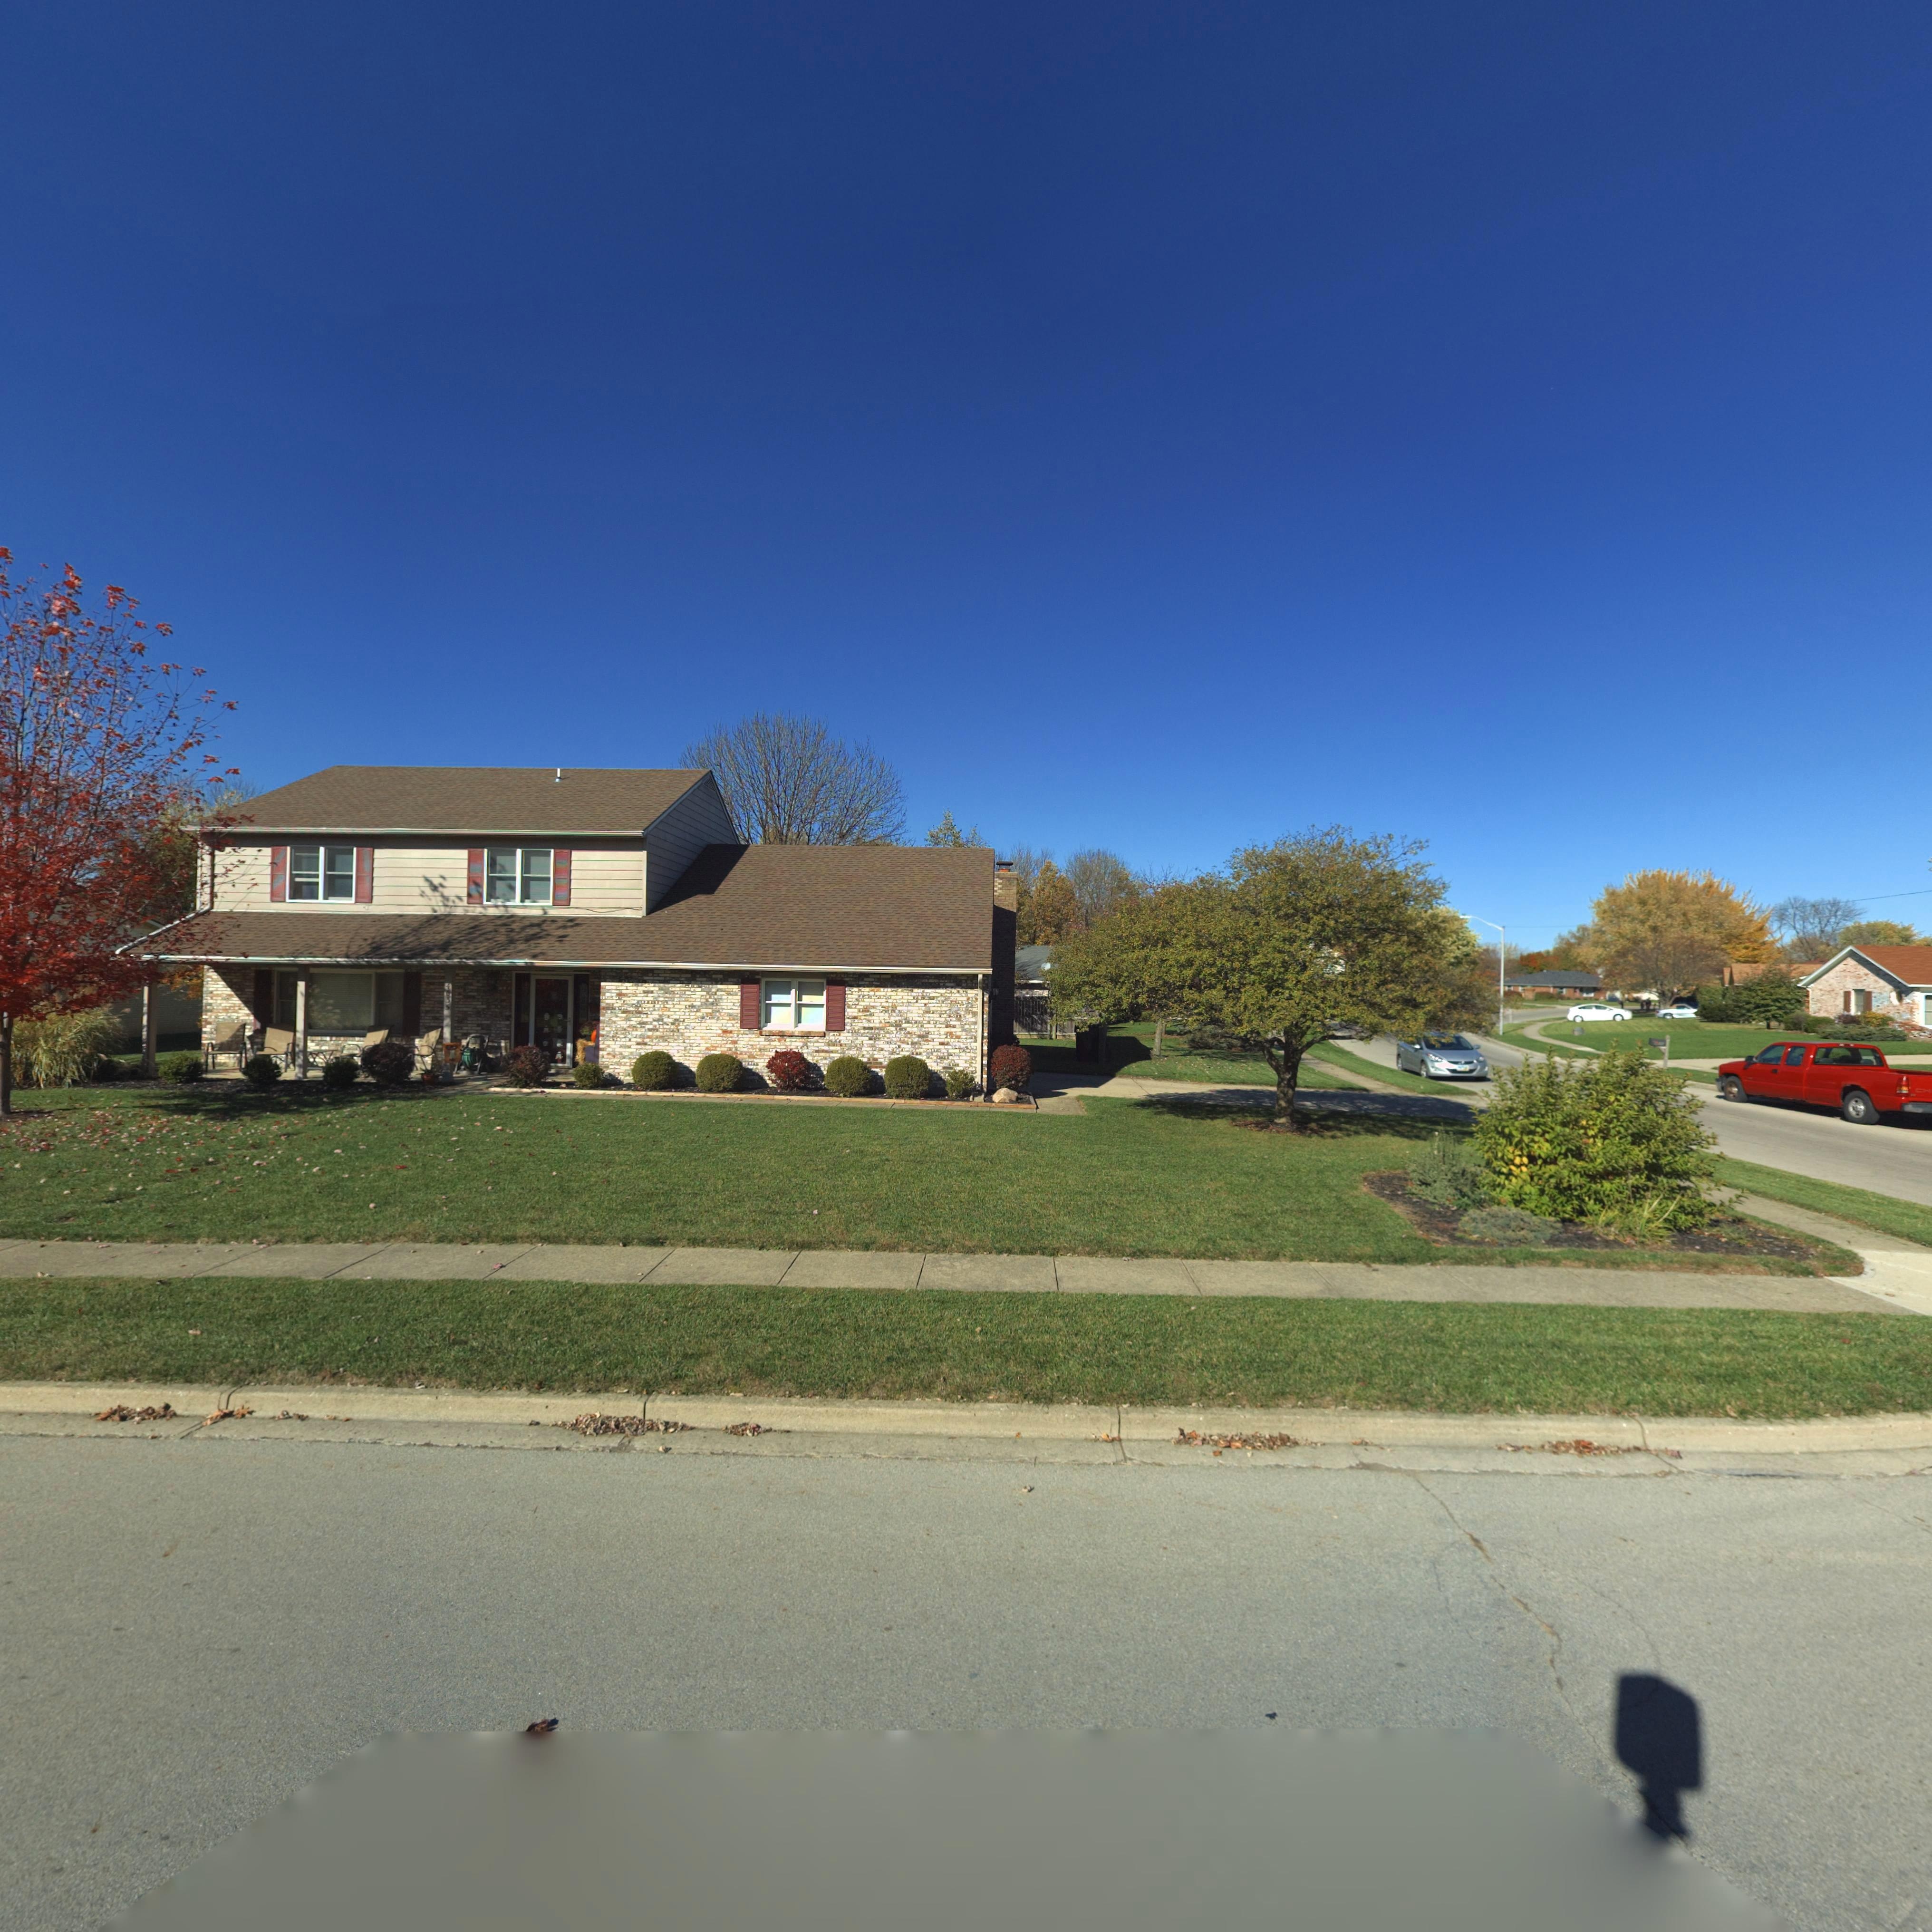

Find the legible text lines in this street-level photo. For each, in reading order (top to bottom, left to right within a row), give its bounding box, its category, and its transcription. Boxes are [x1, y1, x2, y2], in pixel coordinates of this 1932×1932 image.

[444, 982, 451, 1011] StreetNumber: 4035